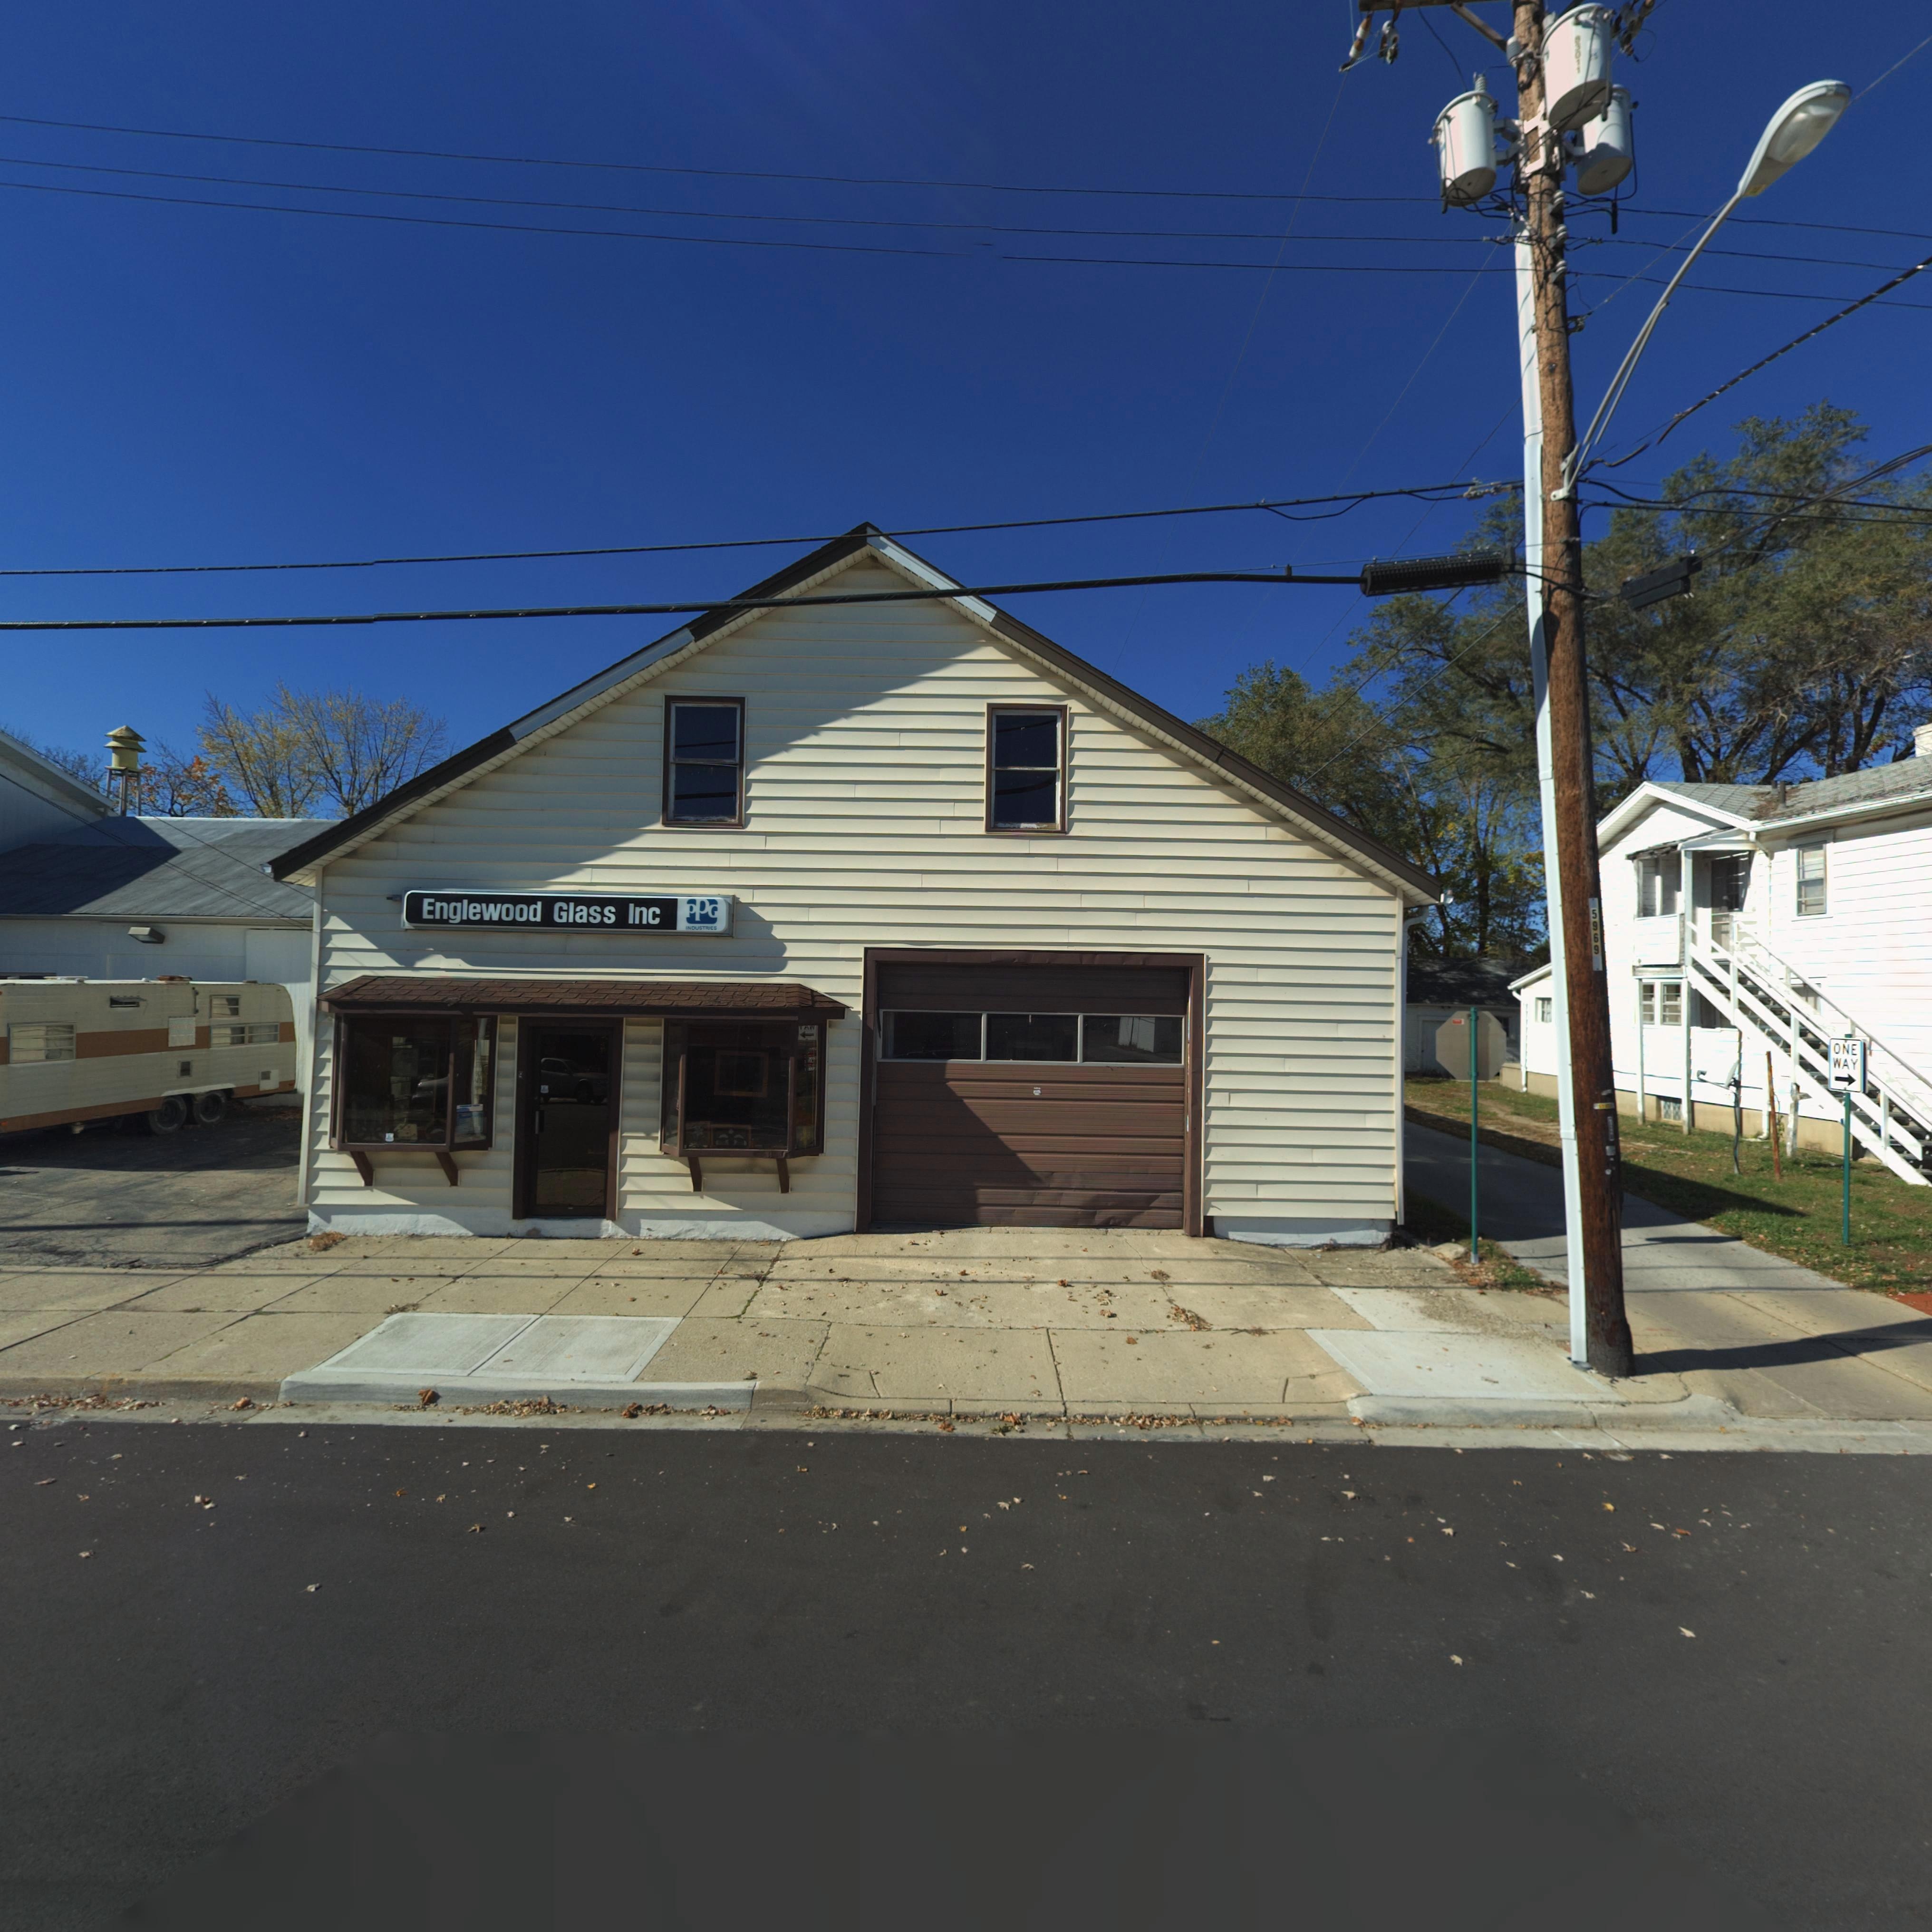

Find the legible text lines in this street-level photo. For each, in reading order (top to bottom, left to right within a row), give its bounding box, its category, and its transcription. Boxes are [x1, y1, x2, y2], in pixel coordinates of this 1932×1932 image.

[421, 897, 661, 926] BusinessName: Englewood Glass Inc
[685, 898, 718, 922] None: PPG
[685, 925, 718, 931] None: INDUSTRIES
[1833, 1042, 1858, 1056] None: ONE
[1832, 1056, 1859, 1071] None: WAY
[519, 1071, 523, 1079] StreetNumber: 9